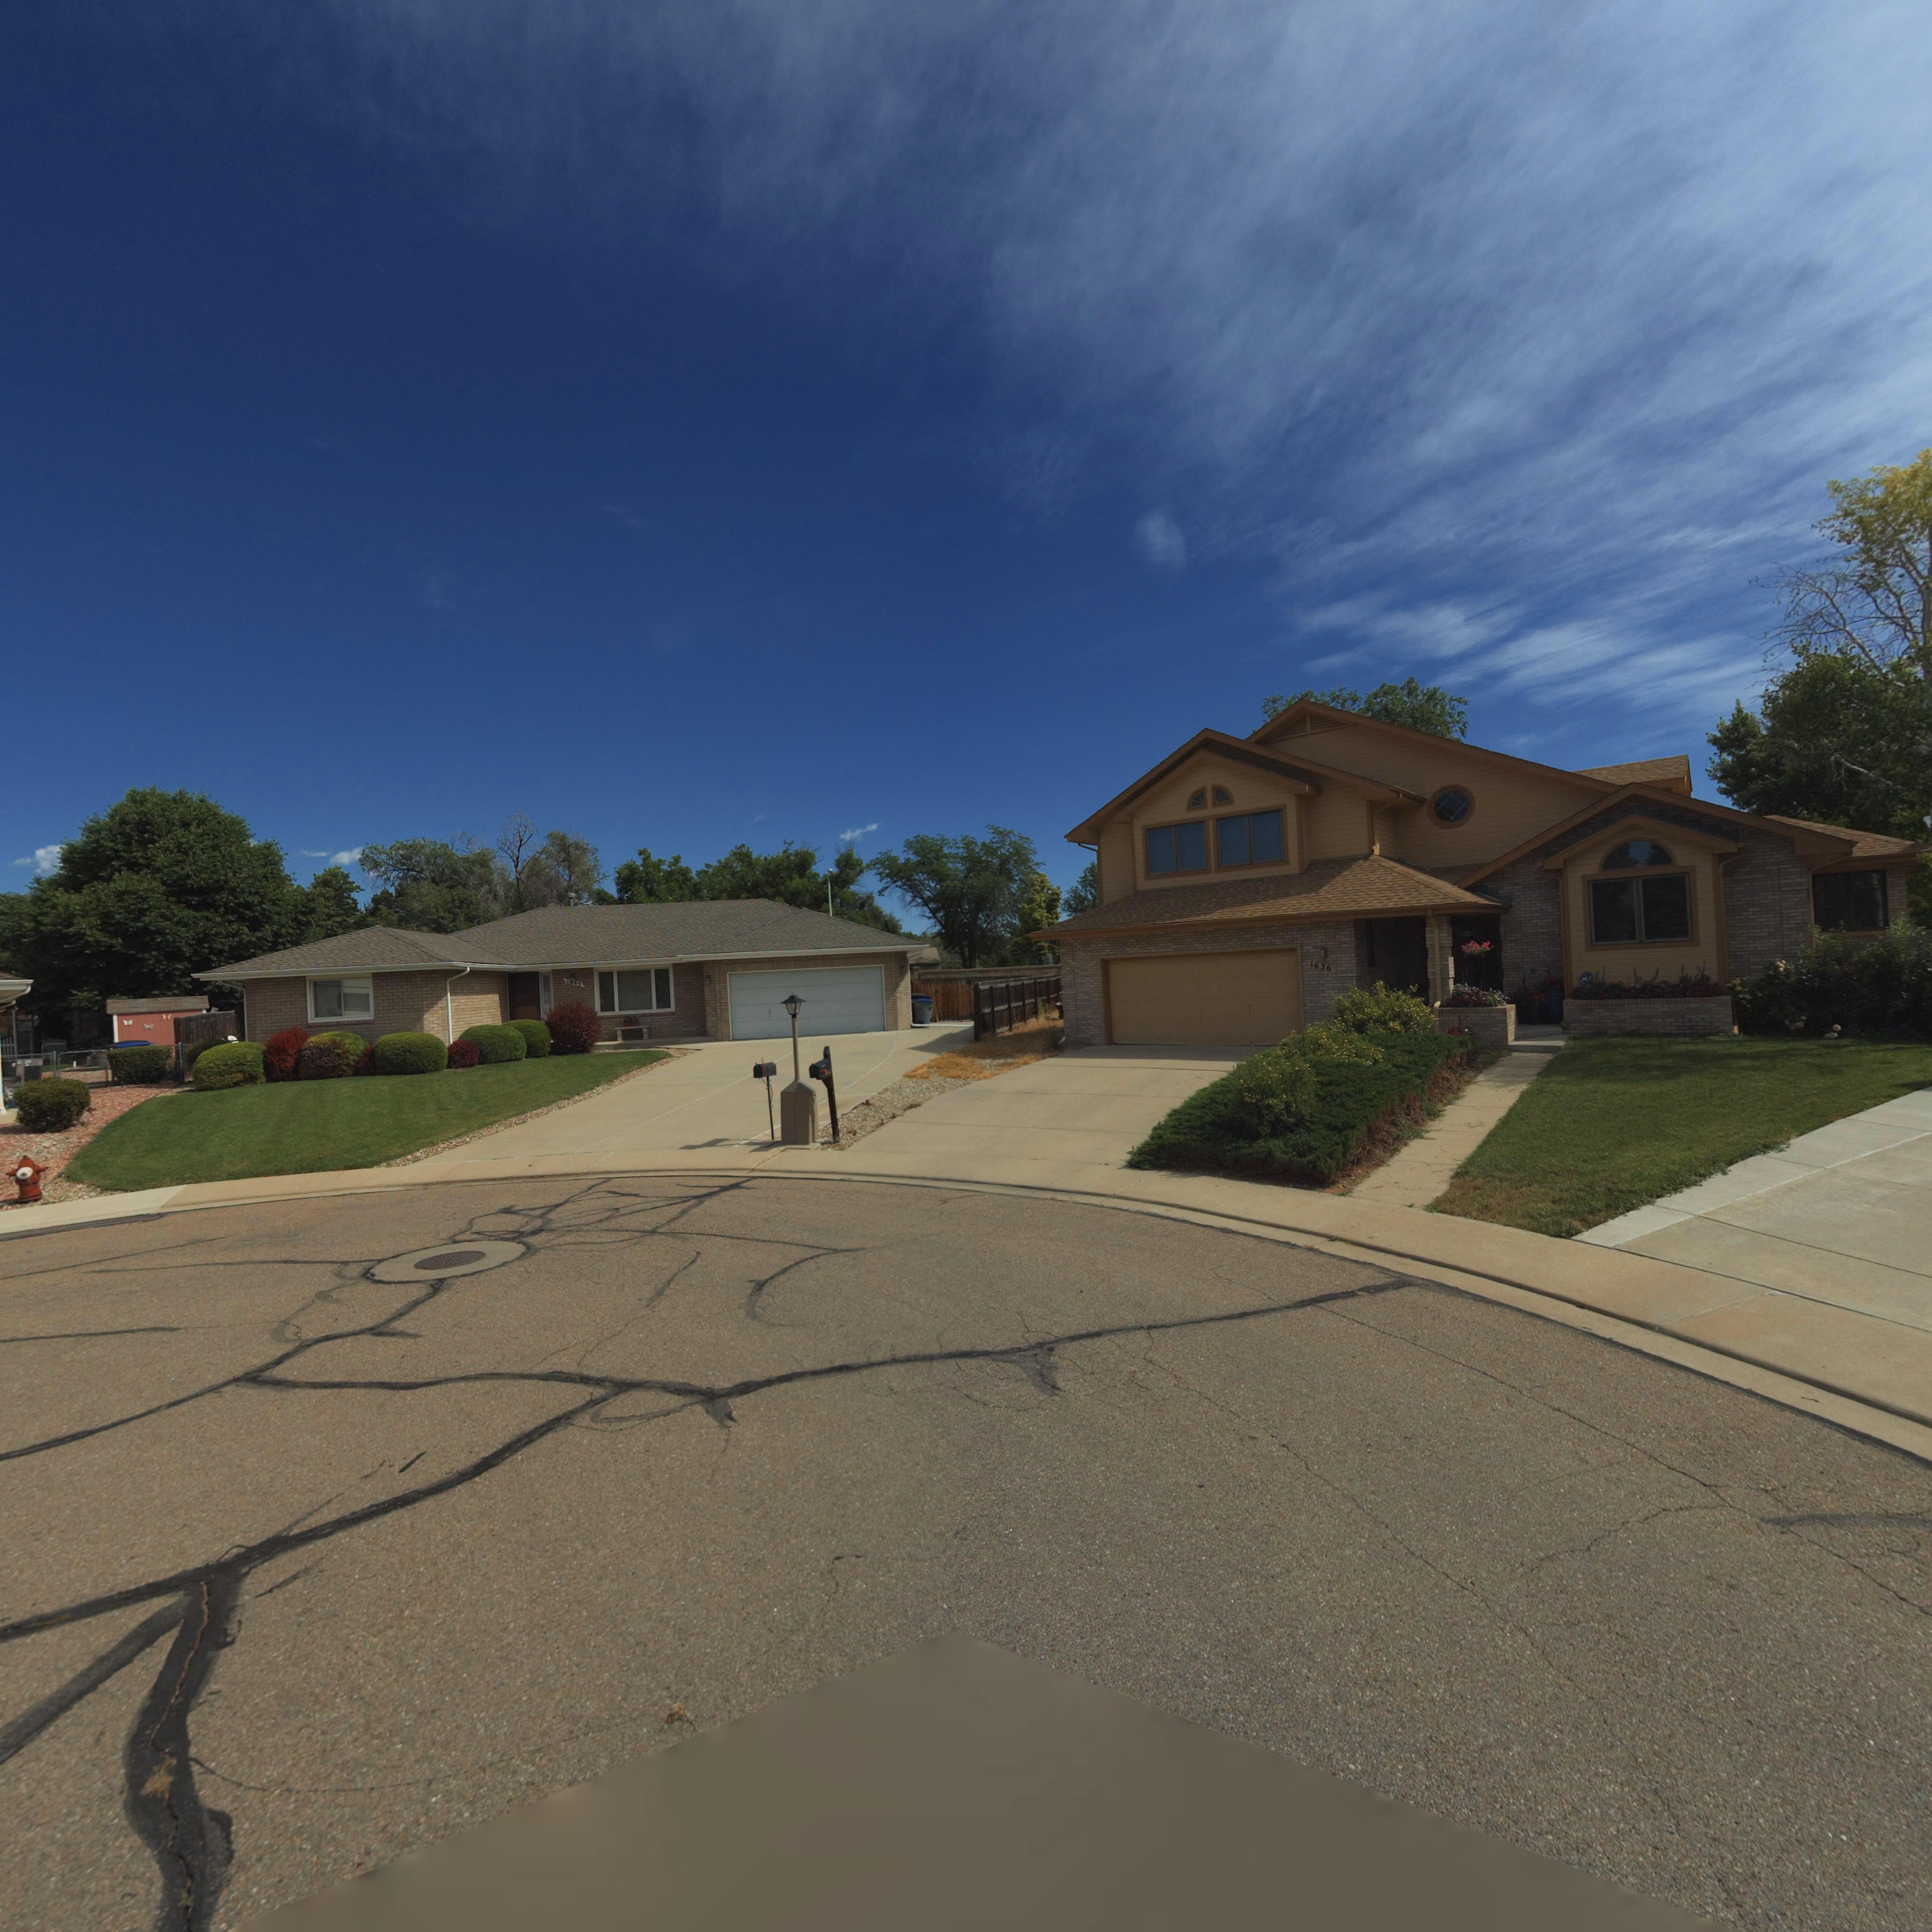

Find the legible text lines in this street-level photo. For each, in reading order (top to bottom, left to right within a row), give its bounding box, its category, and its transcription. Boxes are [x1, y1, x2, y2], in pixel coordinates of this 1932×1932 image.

[1310, 960, 1332, 972] StreetNumber: 1636
[566, 978, 581, 987] StreetNumber: 1*4*